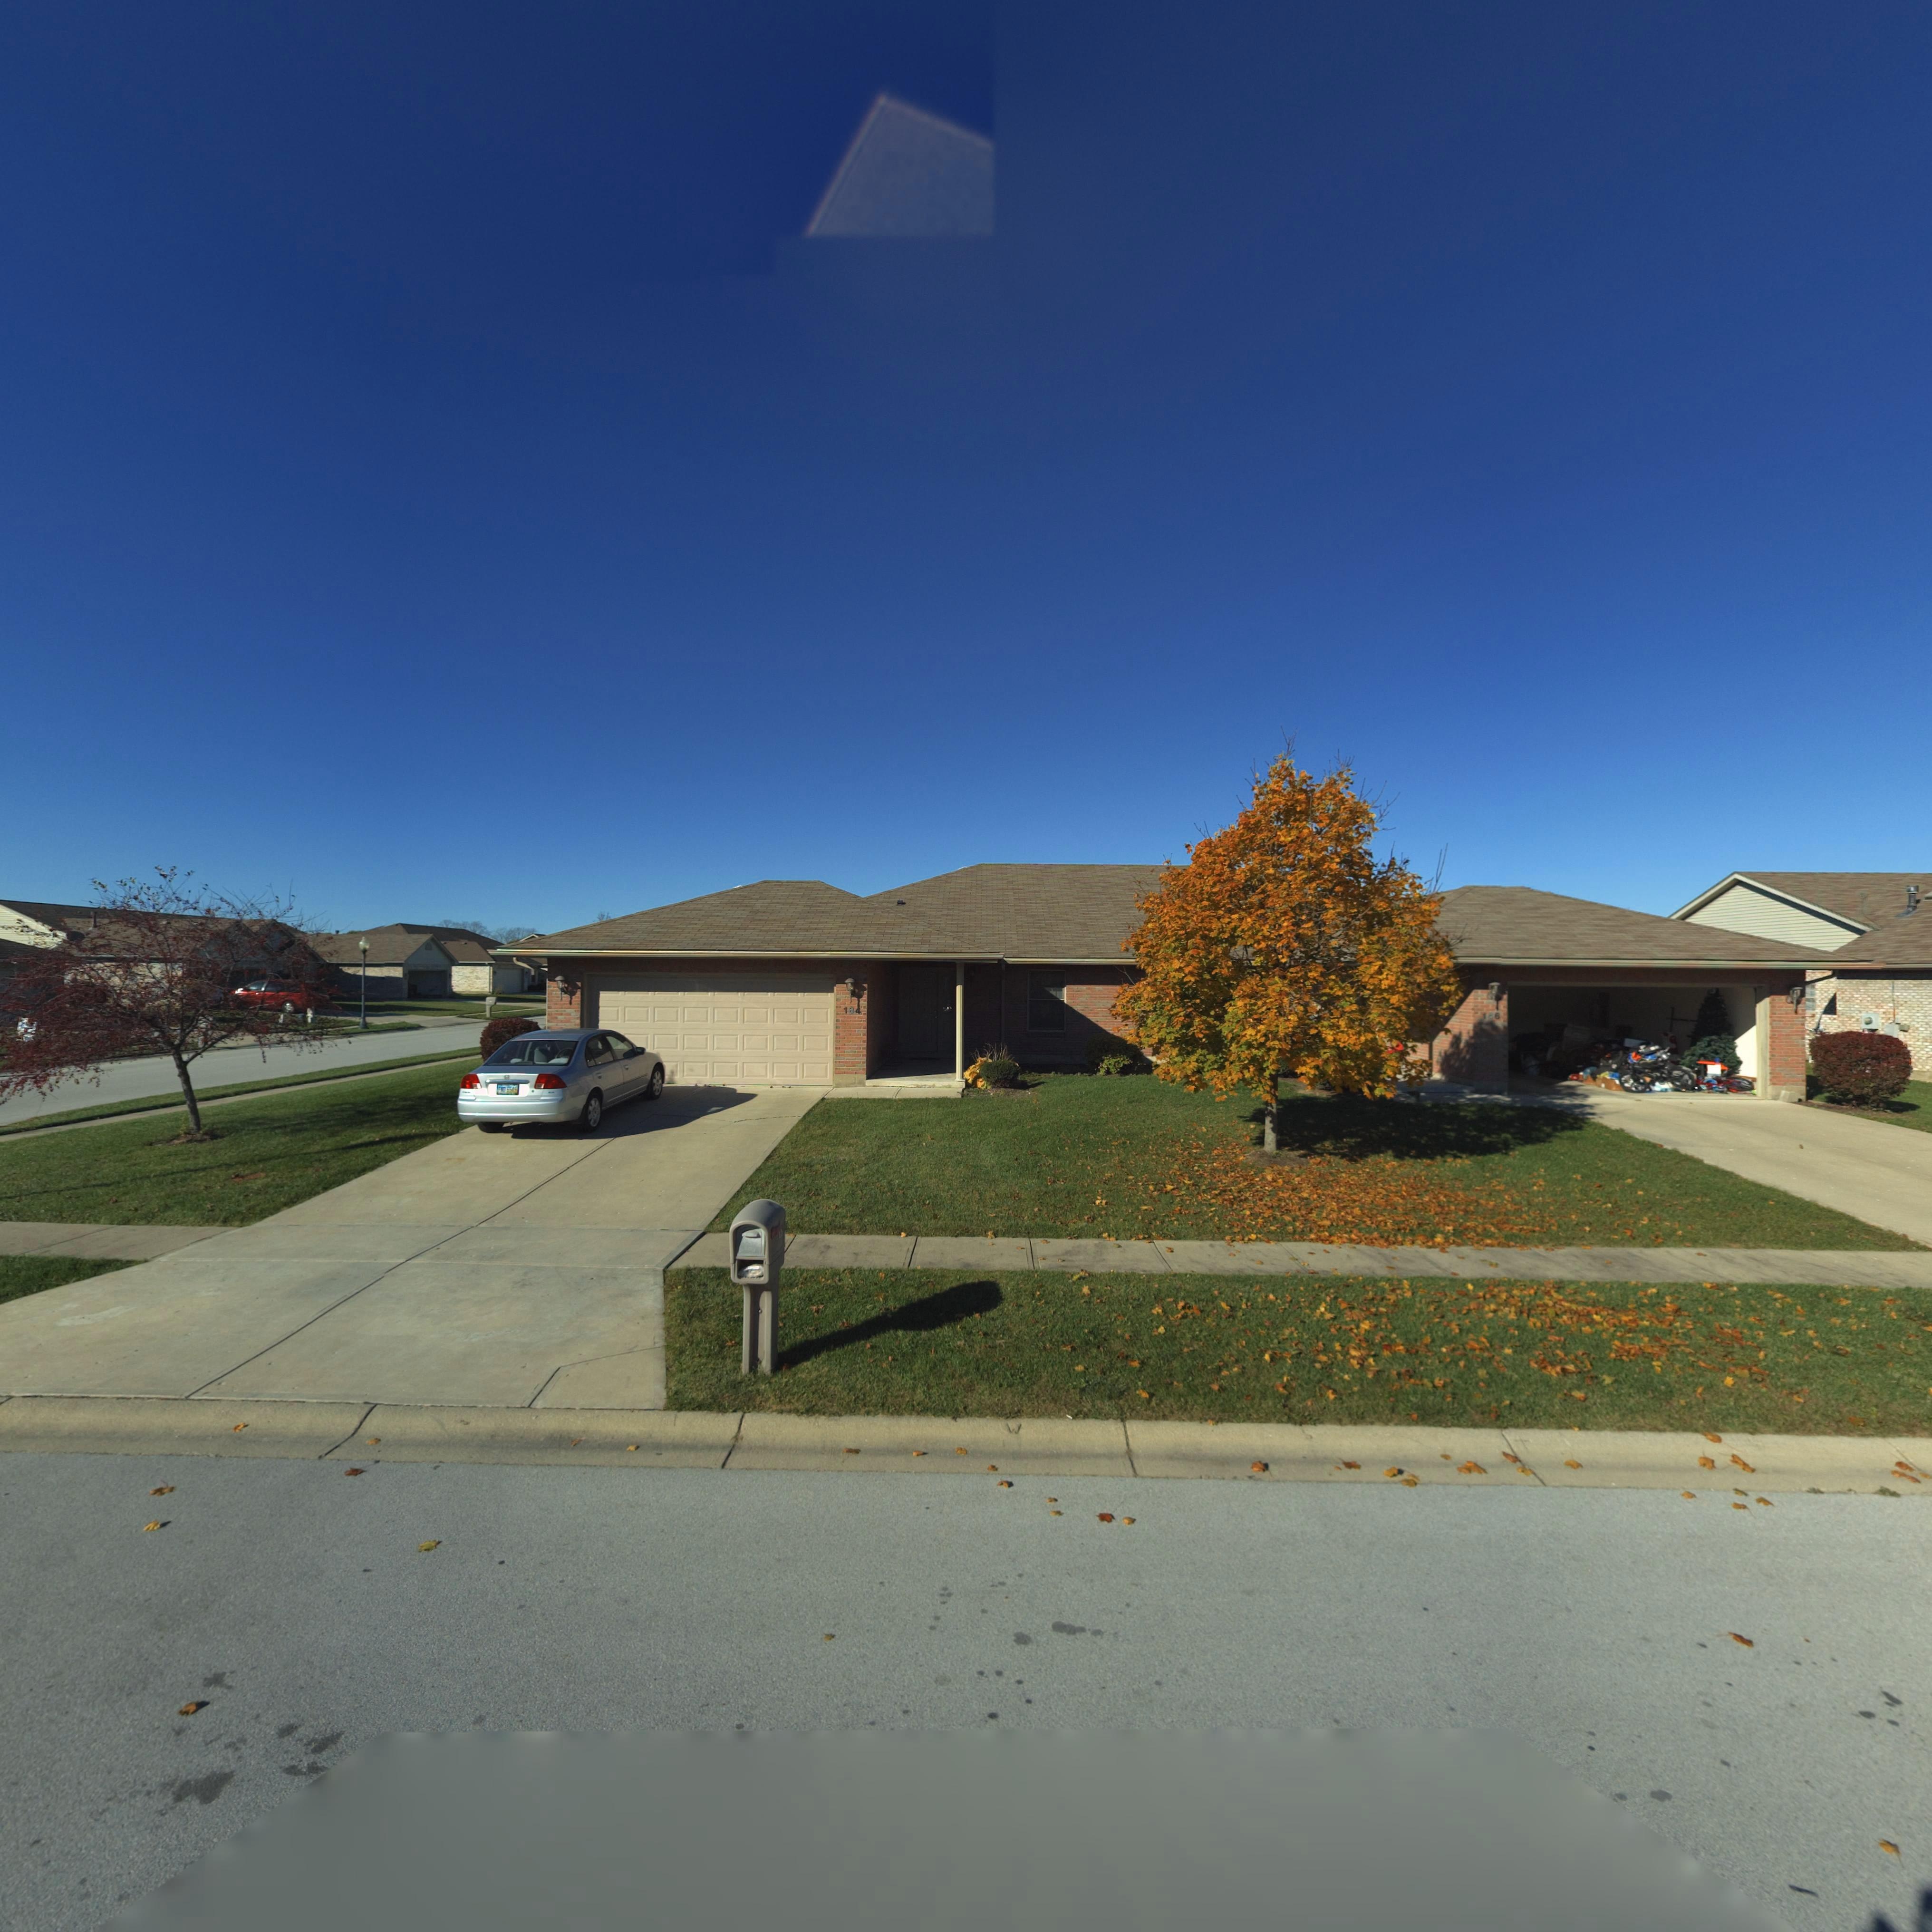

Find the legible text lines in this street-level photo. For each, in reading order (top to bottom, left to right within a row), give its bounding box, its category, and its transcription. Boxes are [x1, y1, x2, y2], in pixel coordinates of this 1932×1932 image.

[843, 1006, 861, 1015] StreetNumber: 184